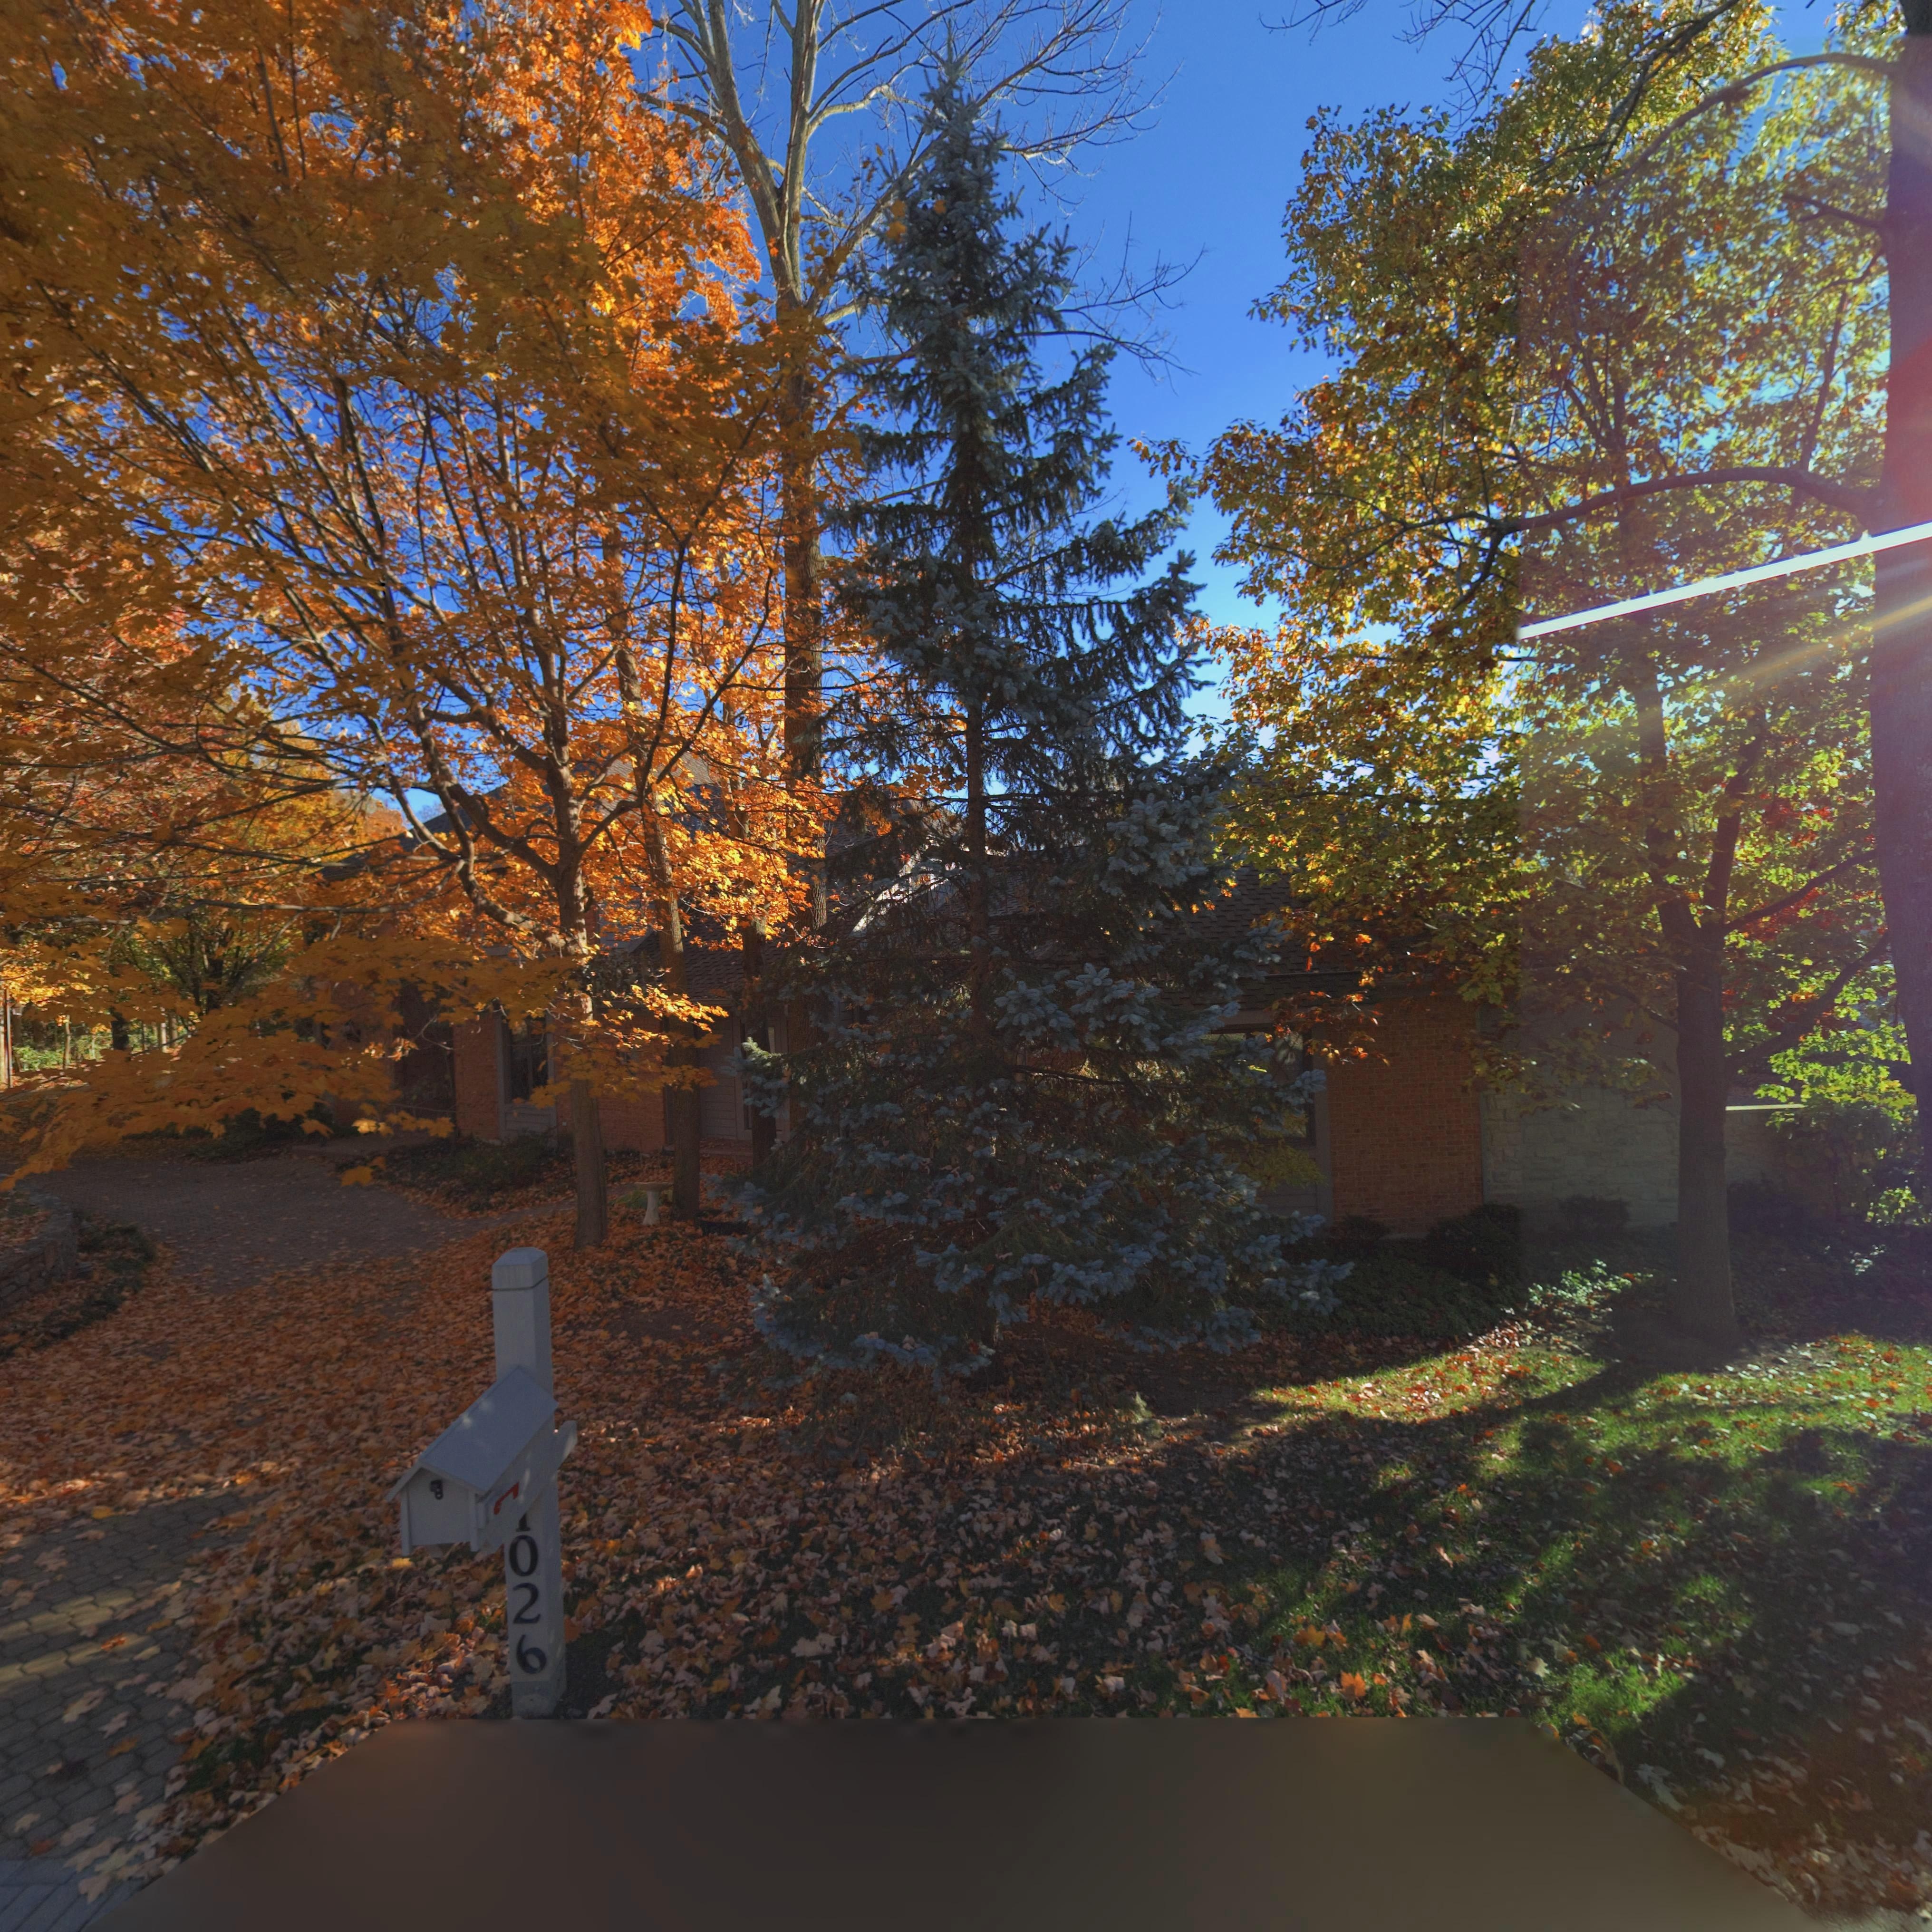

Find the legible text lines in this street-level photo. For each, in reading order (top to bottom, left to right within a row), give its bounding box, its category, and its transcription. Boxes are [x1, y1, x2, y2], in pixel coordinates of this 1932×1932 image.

[503, 1531, 552, 1678] StreetNumber: 026